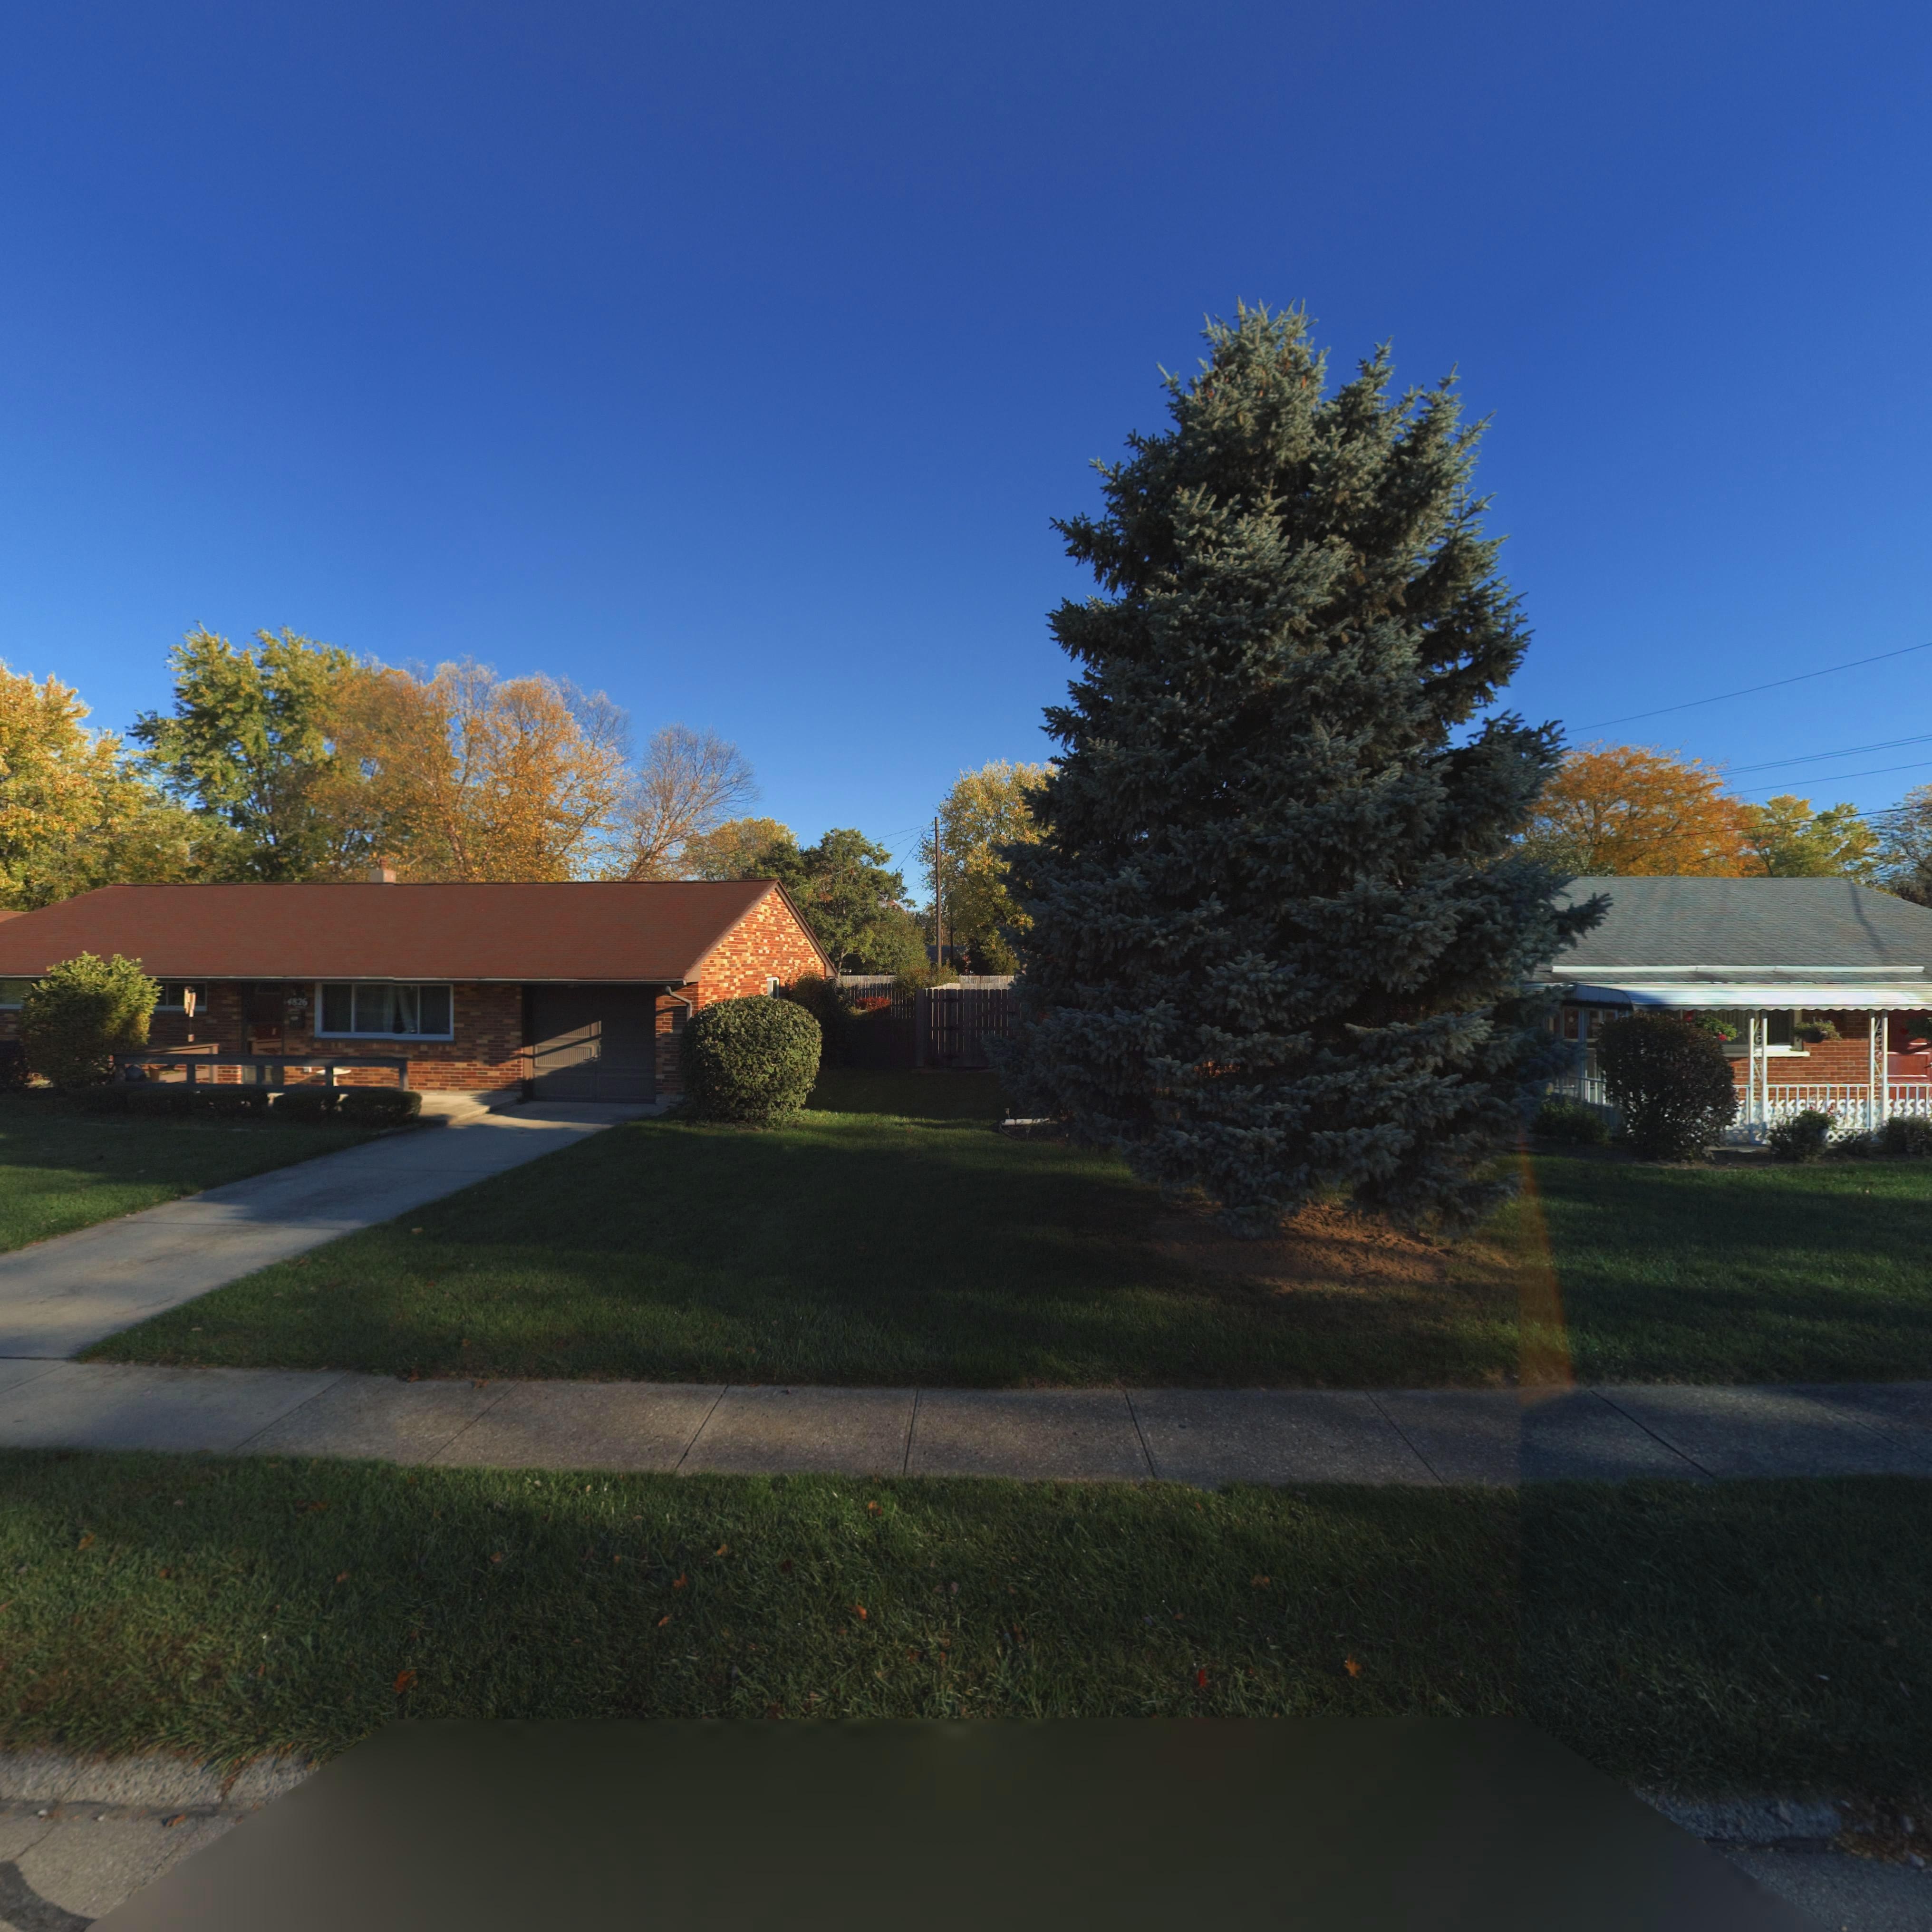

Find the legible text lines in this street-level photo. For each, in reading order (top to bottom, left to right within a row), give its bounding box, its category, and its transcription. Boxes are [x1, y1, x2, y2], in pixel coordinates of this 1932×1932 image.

[287, 997, 309, 1006] StreetNumber: 4826